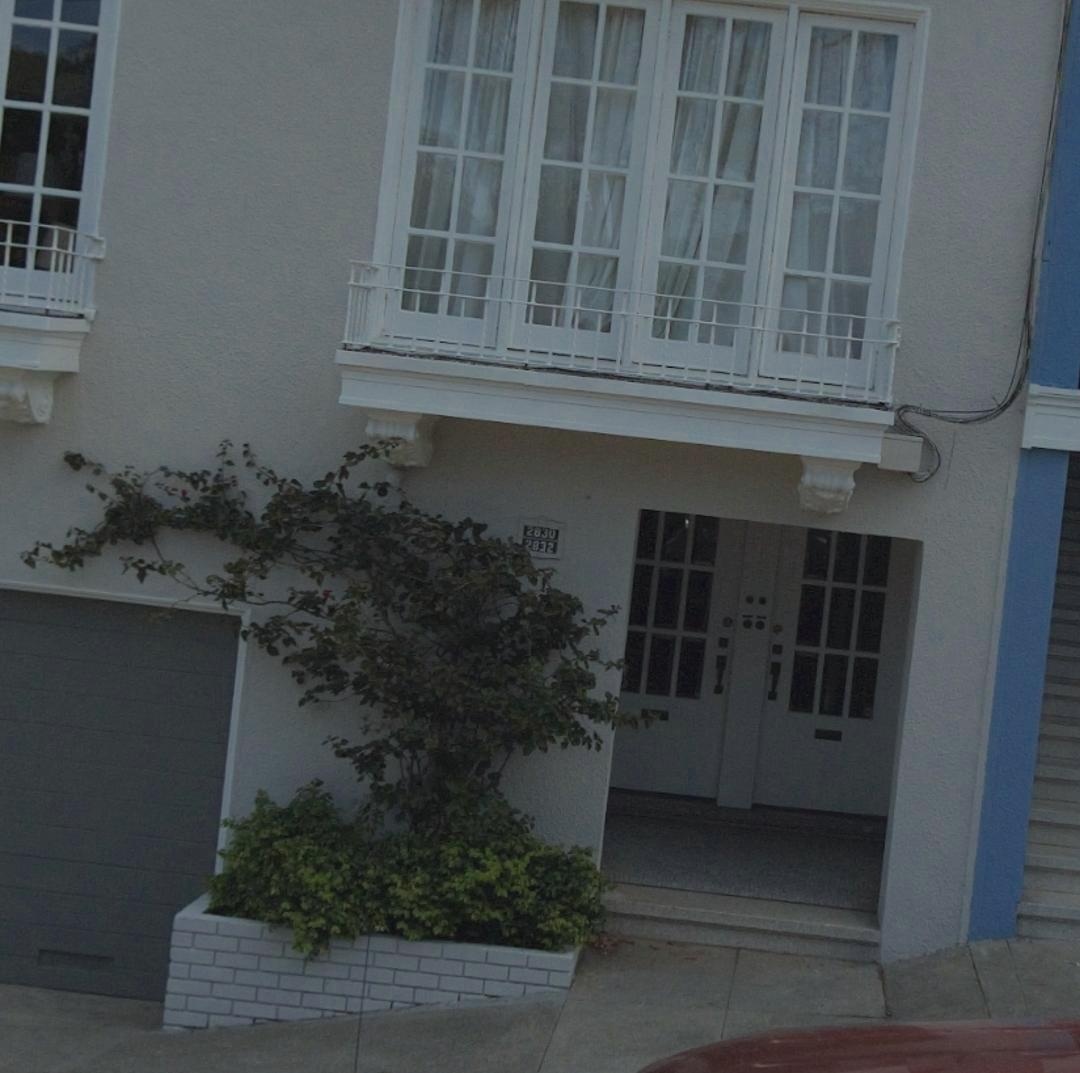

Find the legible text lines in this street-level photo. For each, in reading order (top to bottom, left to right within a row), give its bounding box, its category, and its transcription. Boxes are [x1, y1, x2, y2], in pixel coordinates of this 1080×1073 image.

[524, 523, 558, 541] StreetNumber: 2830
[522, 537, 556, 556] StreetNumber: 2832